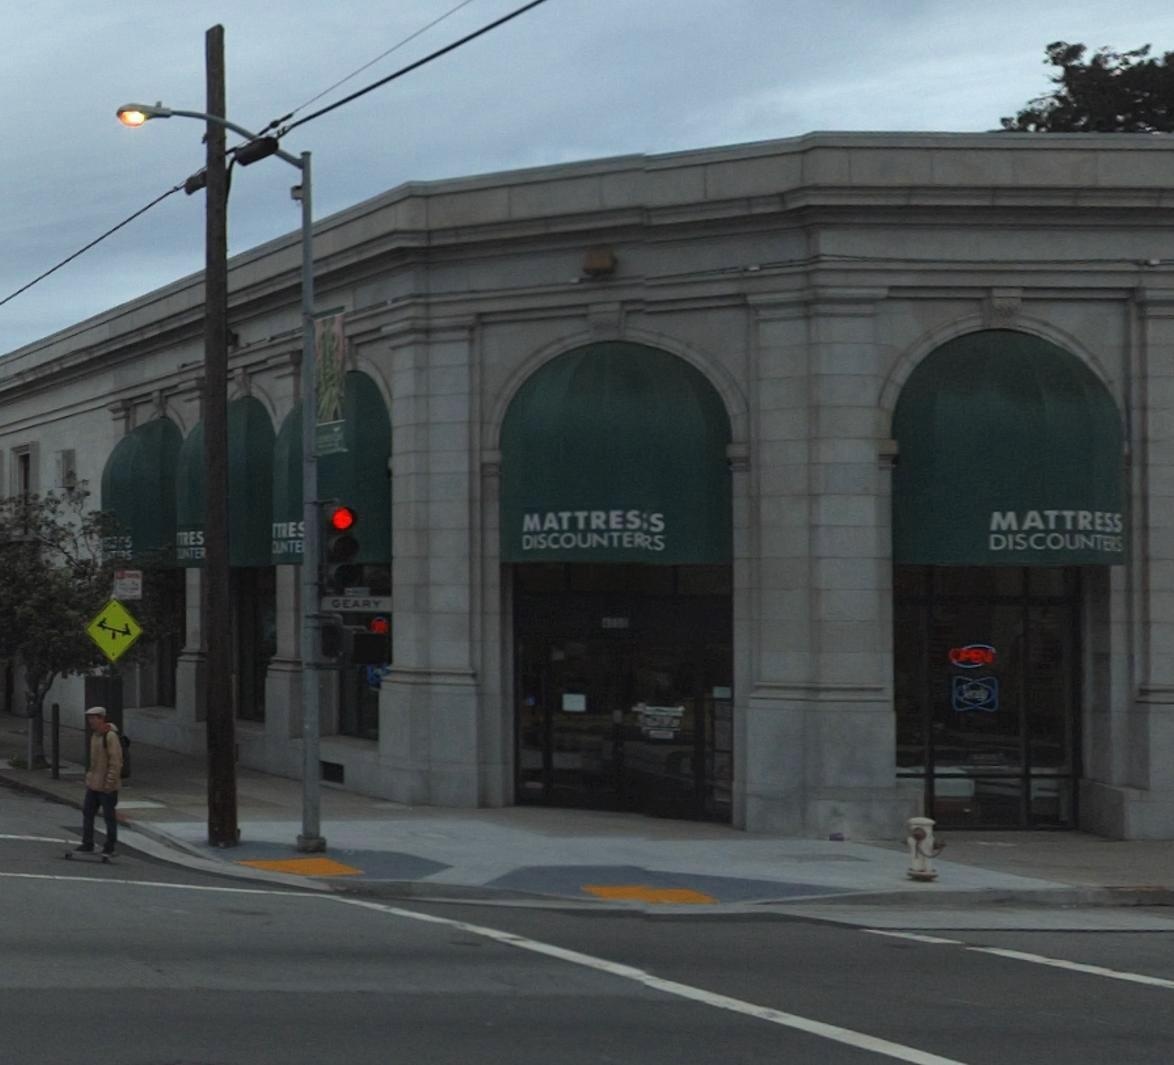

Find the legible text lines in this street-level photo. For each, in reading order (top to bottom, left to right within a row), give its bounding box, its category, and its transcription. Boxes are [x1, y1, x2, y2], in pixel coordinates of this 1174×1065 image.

[176, 528, 205, 548] BusinessName: **ES
[181, 546, 207, 560] BusinessName: **ER
[275, 520, 299, 539] BusinessName: **E
[274, 539, 303, 556] BusinessName: UNTE
[518, 506, 670, 535] BusinessName: MATTRESS
[520, 530, 668, 553] BusinessName: DISCOUNTE*S
[985, 507, 1125, 535] BusinessName: MATTRESS
[987, 531, 1124, 554] BusinessName: DISCOUNTE**
[330, 597, 384, 611] StreetName: GEARY
[946, 646, 996, 665] None: OPEN